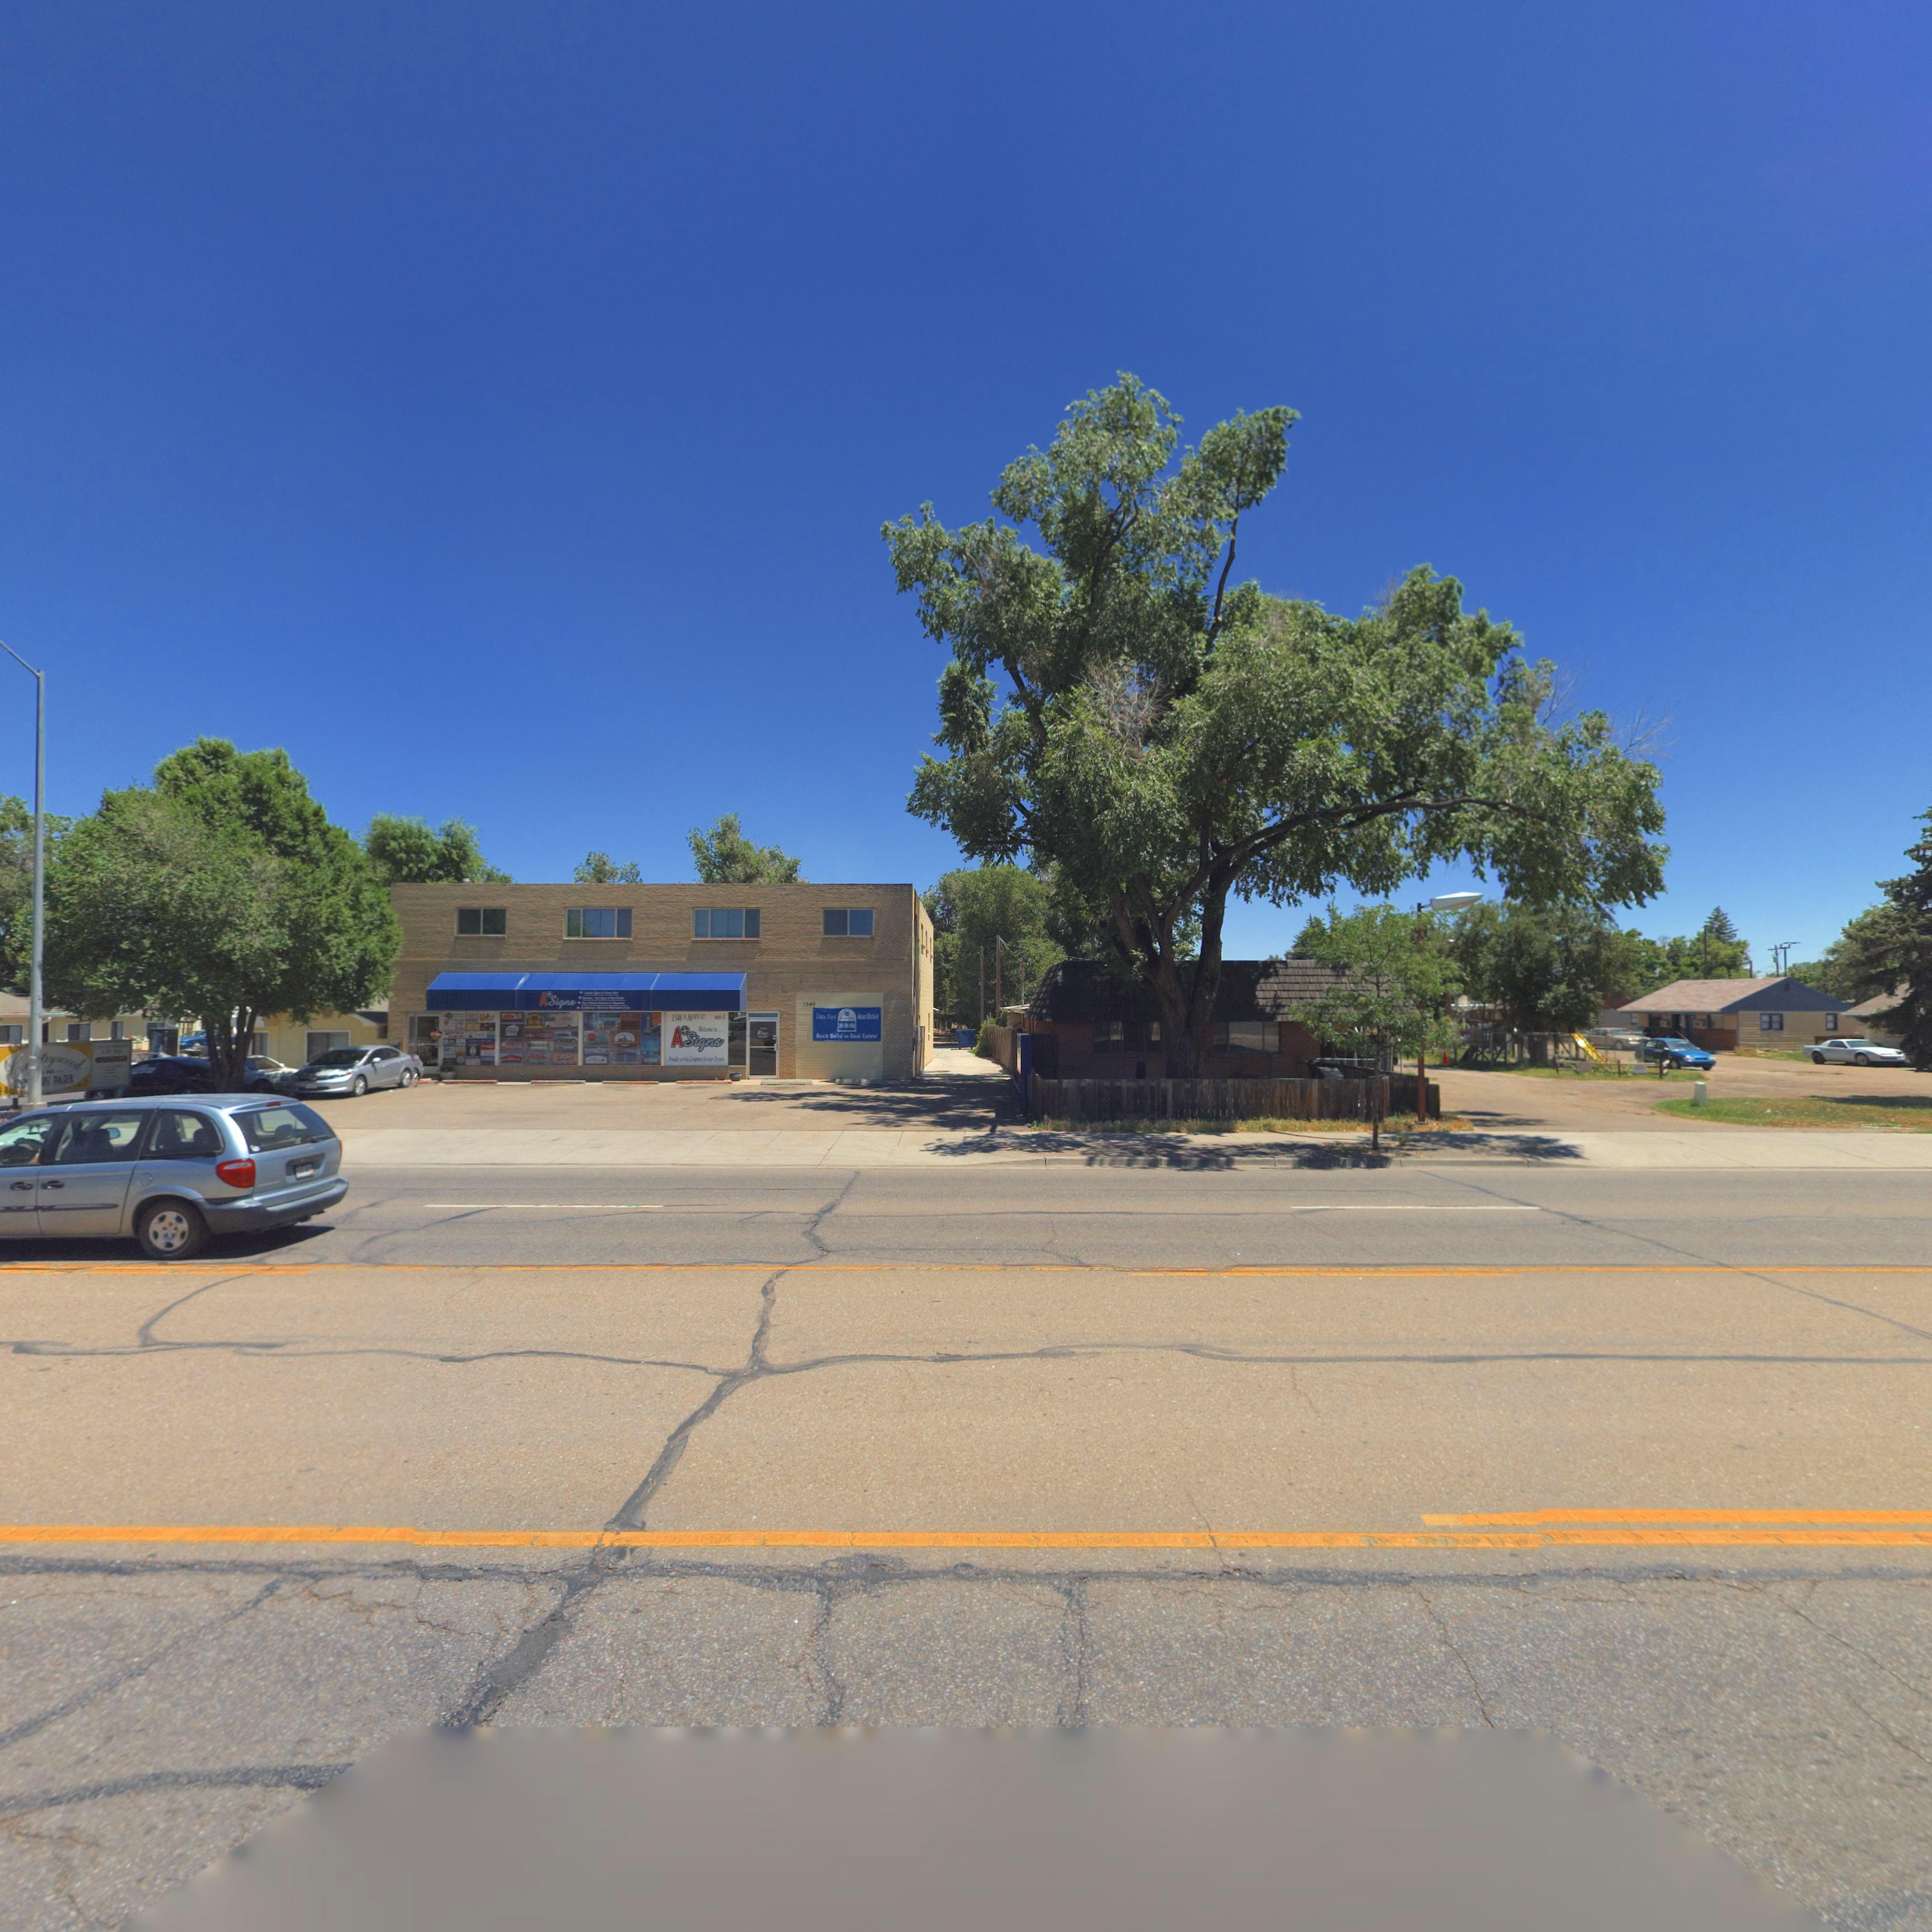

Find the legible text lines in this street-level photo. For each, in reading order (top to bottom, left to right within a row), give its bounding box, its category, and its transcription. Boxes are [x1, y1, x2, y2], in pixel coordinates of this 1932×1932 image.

[538, 990, 577, 1009] BusinessName: A*Signs
[802, 1001, 816, 1006] StreetNumber: 1540
[671, 1013, 682, 1022] StreetNumber: 1540
[683, 1013, 705, 1022] StreetName: S MAIN ST.
[714, 1014, 725, 1019] SecondaryUnitDesignator: UNIT A
[756, 1030, 762, 1034] BusinessName: A
[669, 1024, 725, 1053] BusinessName: *A*Signs